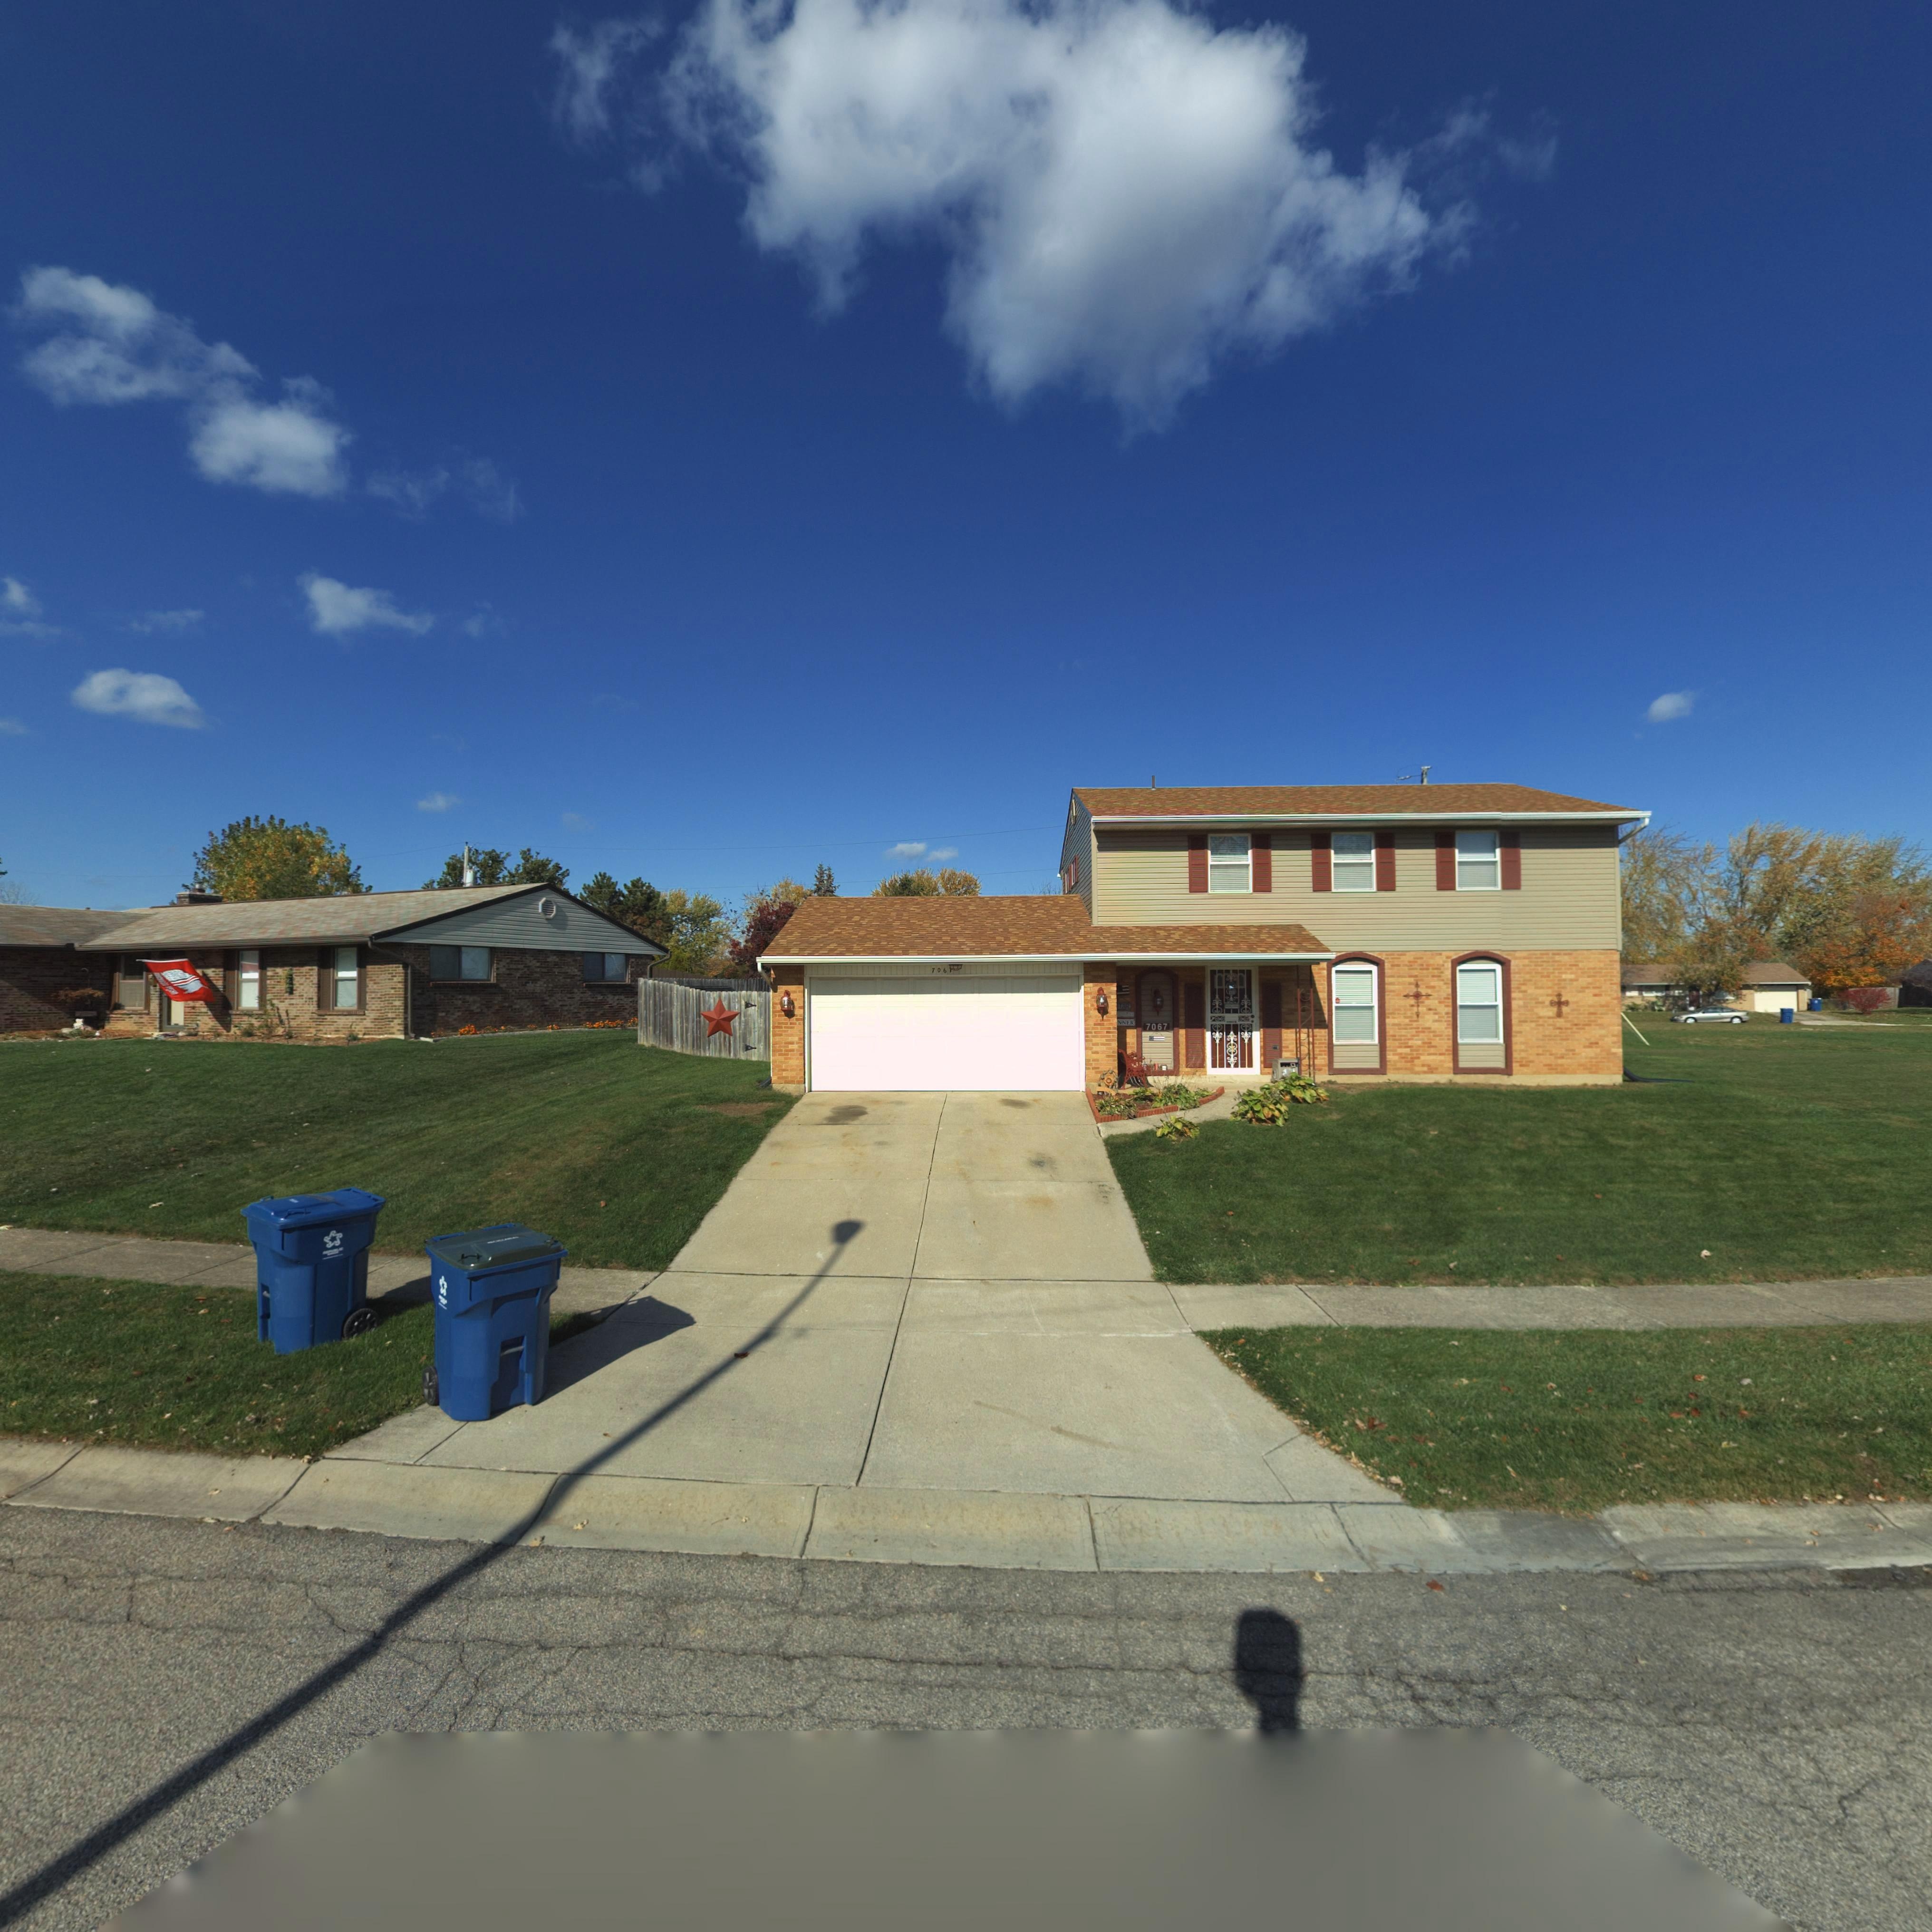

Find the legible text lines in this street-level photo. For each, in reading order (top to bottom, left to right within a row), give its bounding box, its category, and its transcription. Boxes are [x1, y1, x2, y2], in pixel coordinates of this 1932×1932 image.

[931, 966, 948, 975] StreetNumber: 706
[1145, 1022, 1169, 1031] StreetNumber: 7067